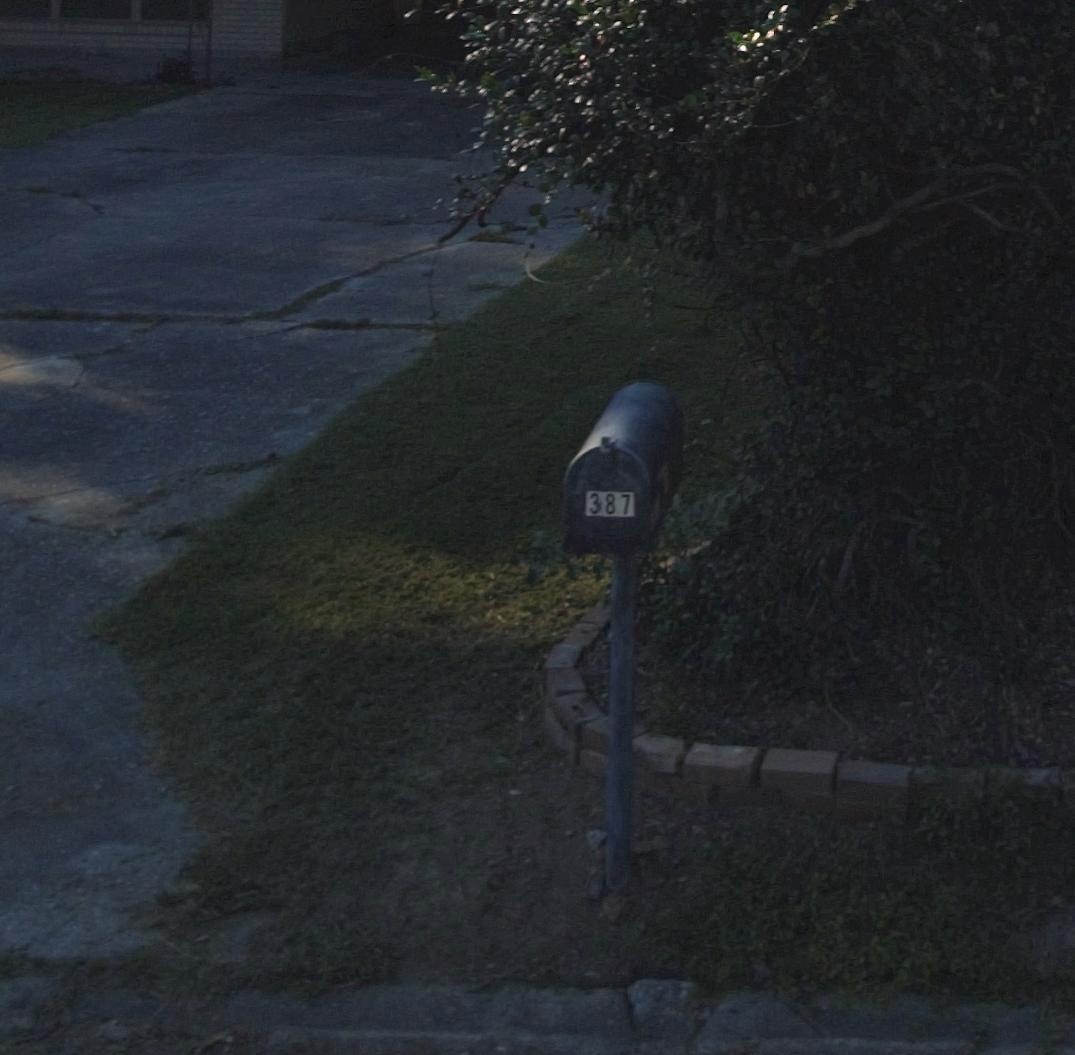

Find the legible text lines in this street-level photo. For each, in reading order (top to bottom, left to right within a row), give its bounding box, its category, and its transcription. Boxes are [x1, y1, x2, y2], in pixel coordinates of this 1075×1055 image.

[585, 490, 633, 517] StreetNumber: 387